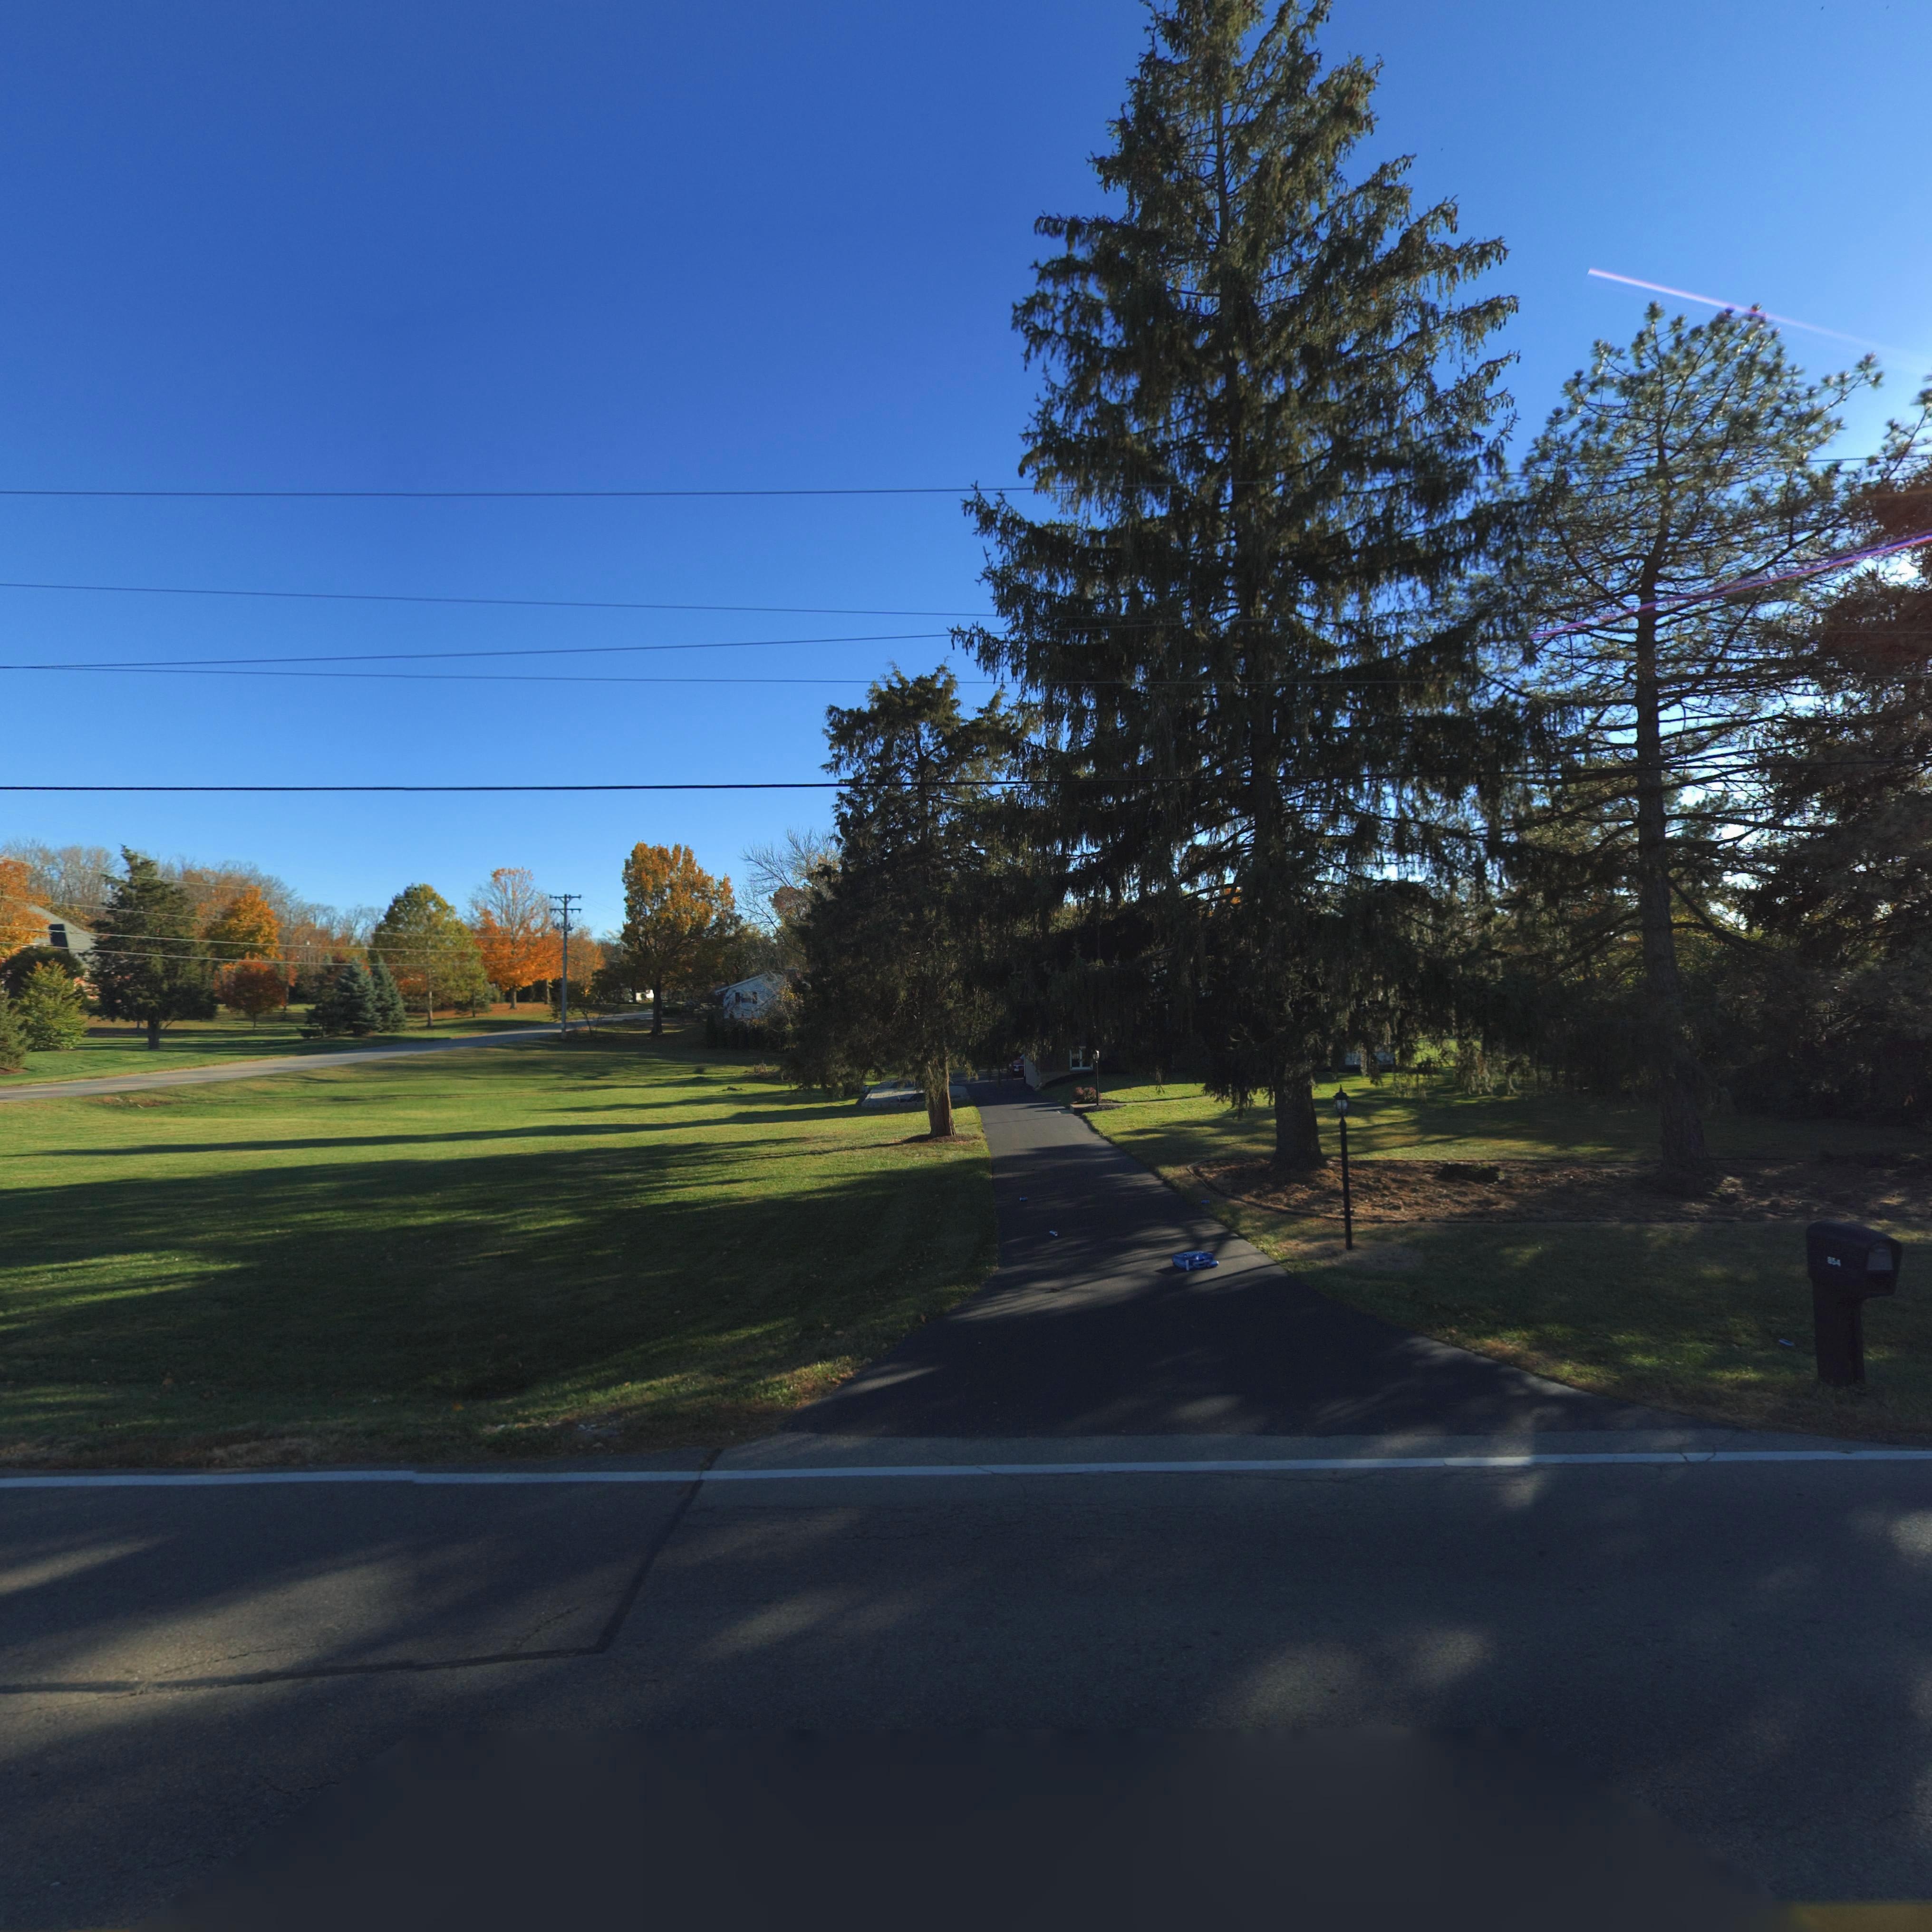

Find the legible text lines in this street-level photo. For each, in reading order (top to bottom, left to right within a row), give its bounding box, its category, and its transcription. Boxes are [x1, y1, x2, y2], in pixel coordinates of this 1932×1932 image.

[1826, 1255, 1841, 1268] StreetNumber: 854